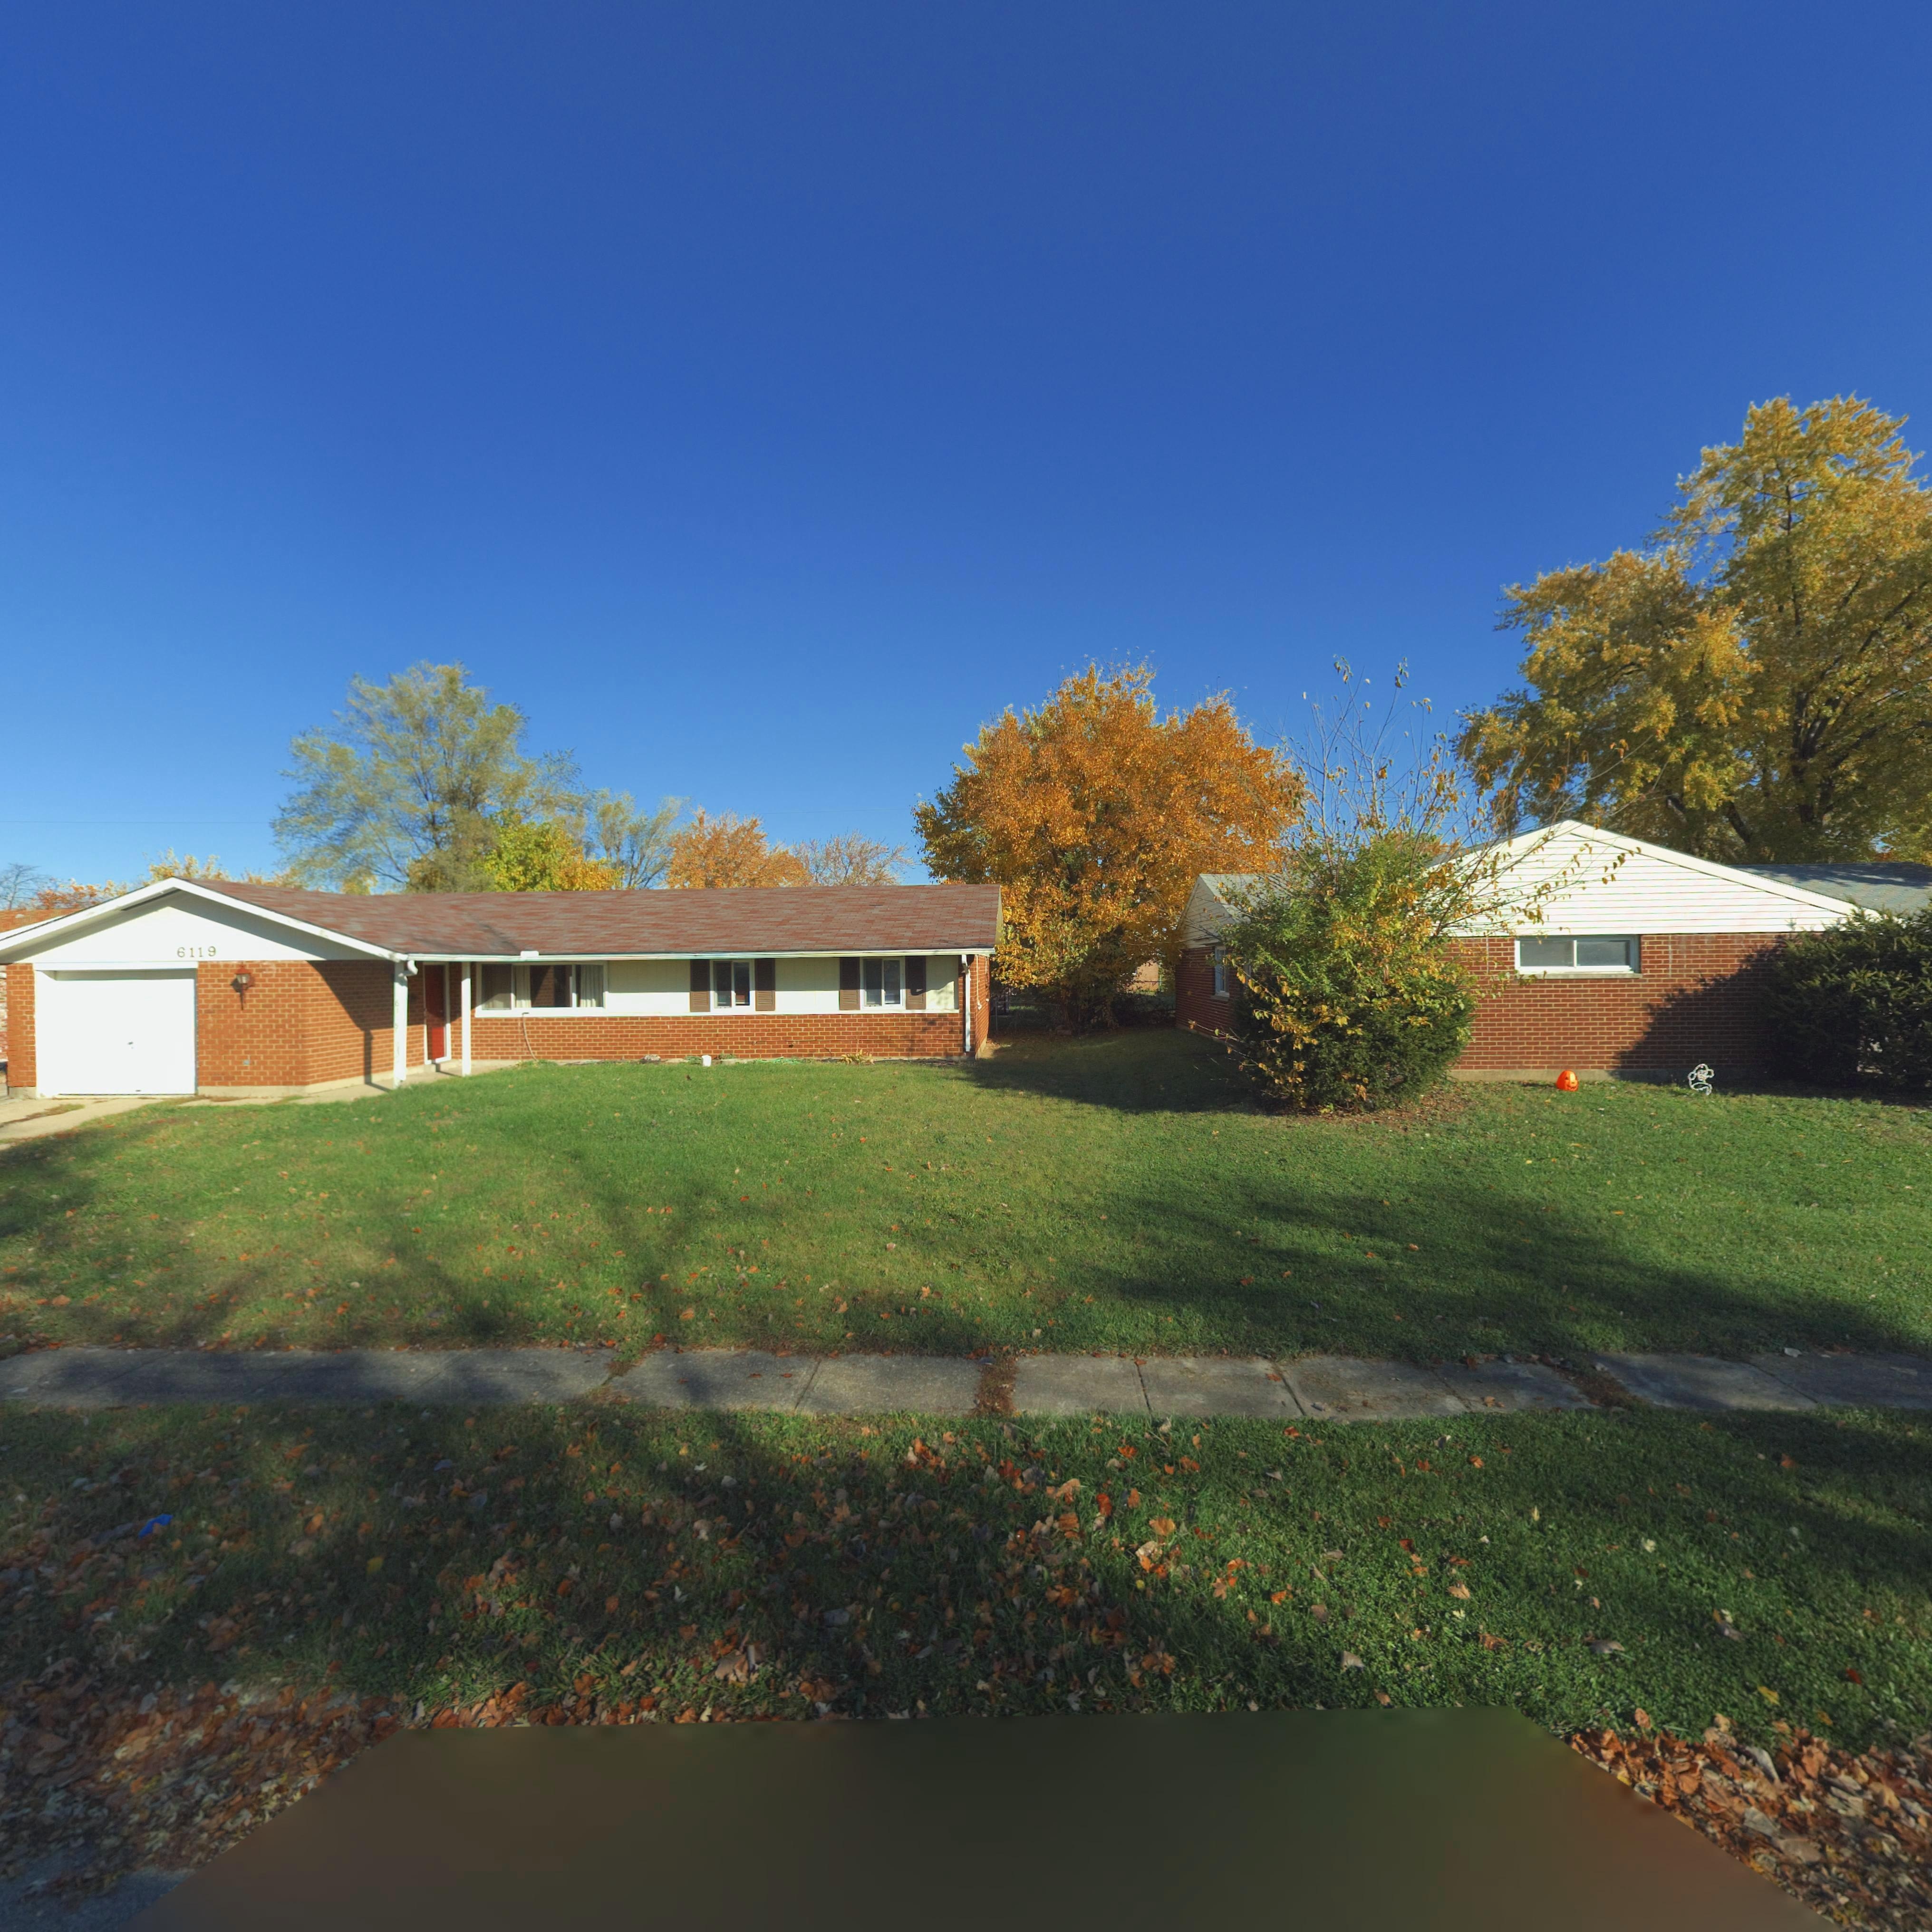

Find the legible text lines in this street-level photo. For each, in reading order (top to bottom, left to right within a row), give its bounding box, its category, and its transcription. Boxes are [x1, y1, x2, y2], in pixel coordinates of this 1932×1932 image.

[176, 945, 217, 958] StreetNumber: 6119
[393, 997, 400, 1029] StreetNumber: 6**9